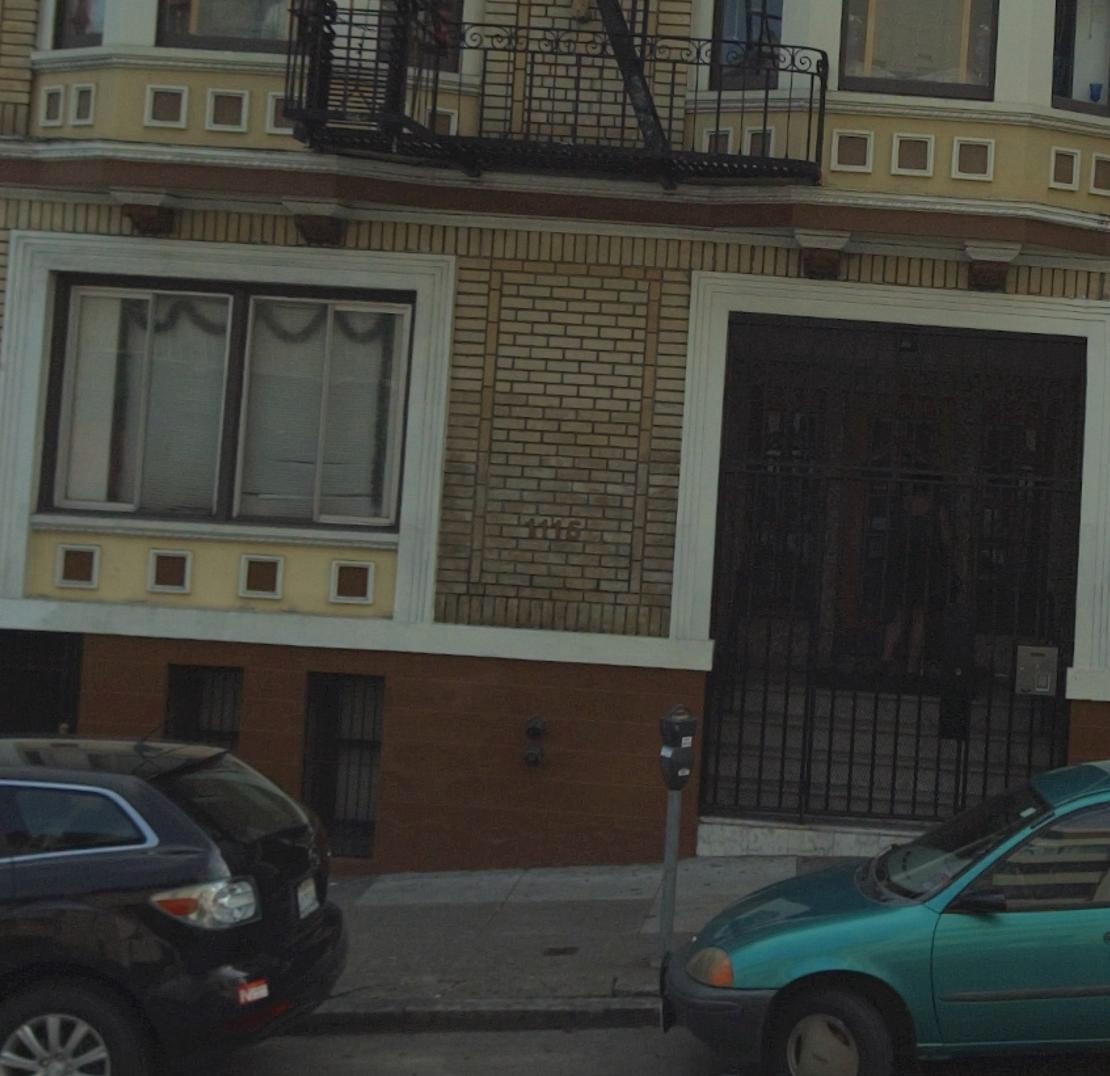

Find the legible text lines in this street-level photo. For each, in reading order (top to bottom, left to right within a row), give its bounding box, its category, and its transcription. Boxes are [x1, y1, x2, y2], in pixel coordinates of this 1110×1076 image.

[522, 516, 584, 544] StreetNumber: 1115